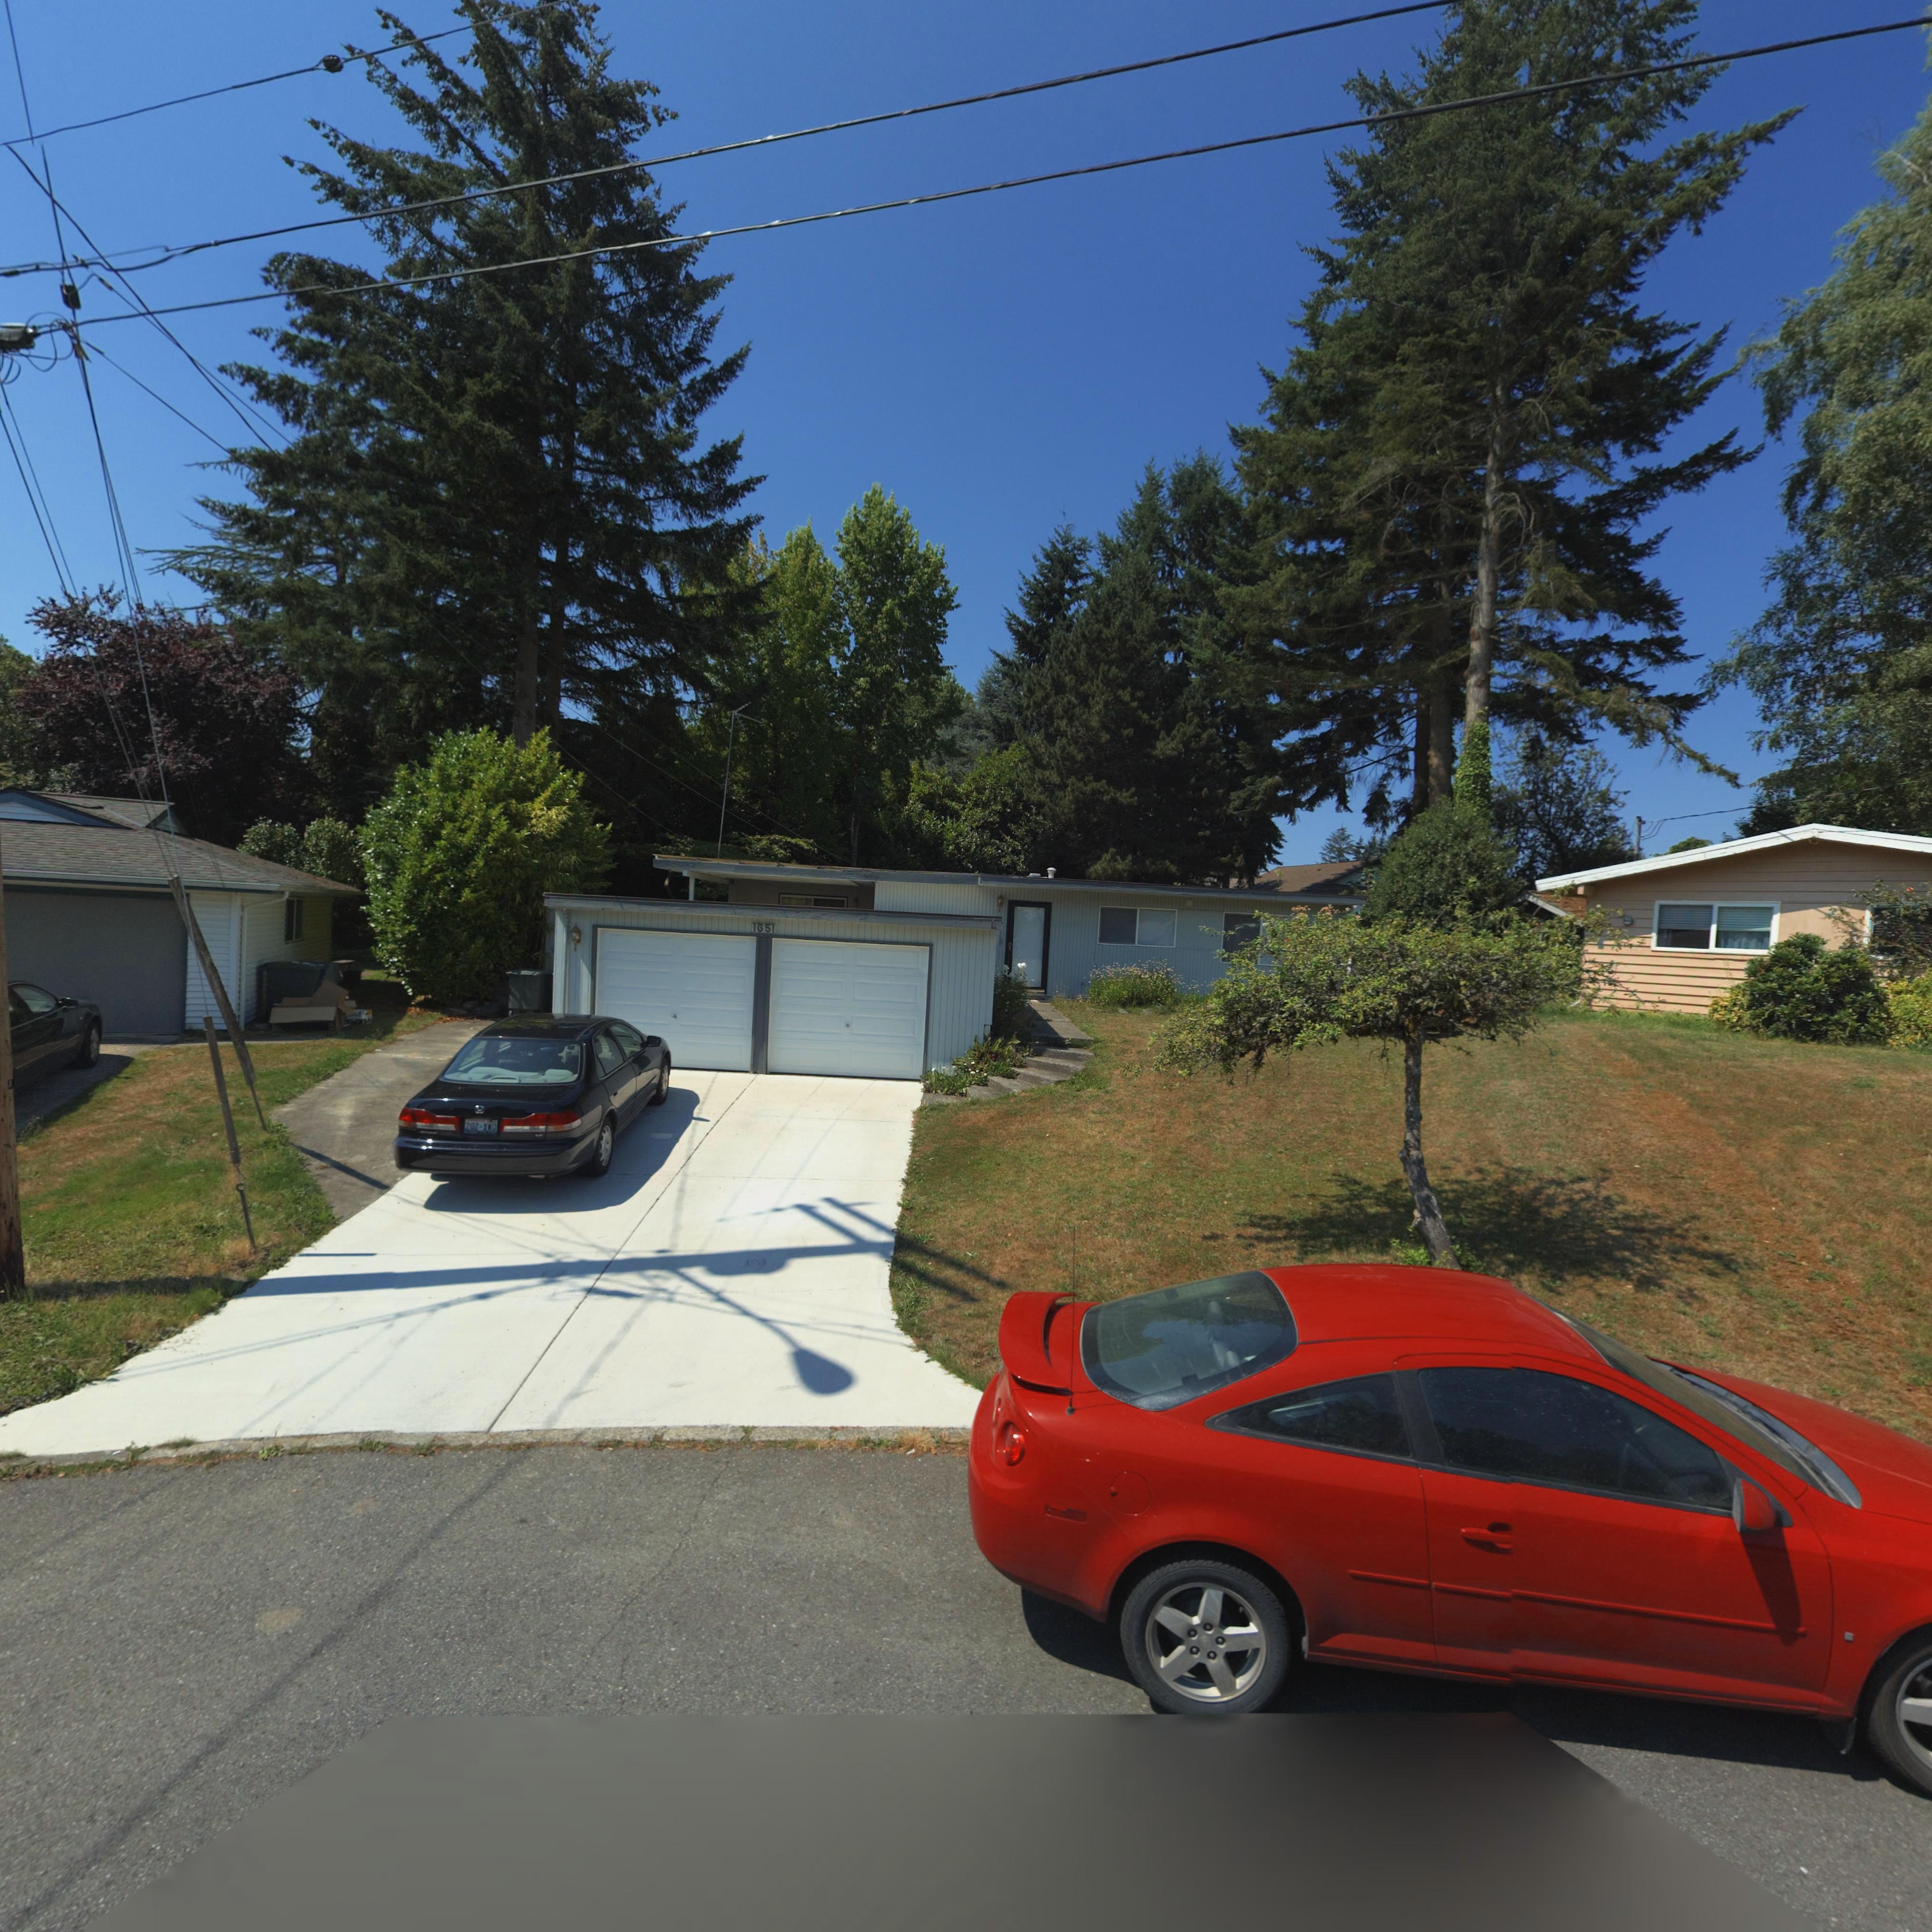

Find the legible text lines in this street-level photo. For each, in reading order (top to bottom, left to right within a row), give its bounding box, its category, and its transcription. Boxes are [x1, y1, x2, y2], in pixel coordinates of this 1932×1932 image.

[752, 922, 775, 934] StreetNumber: 1651